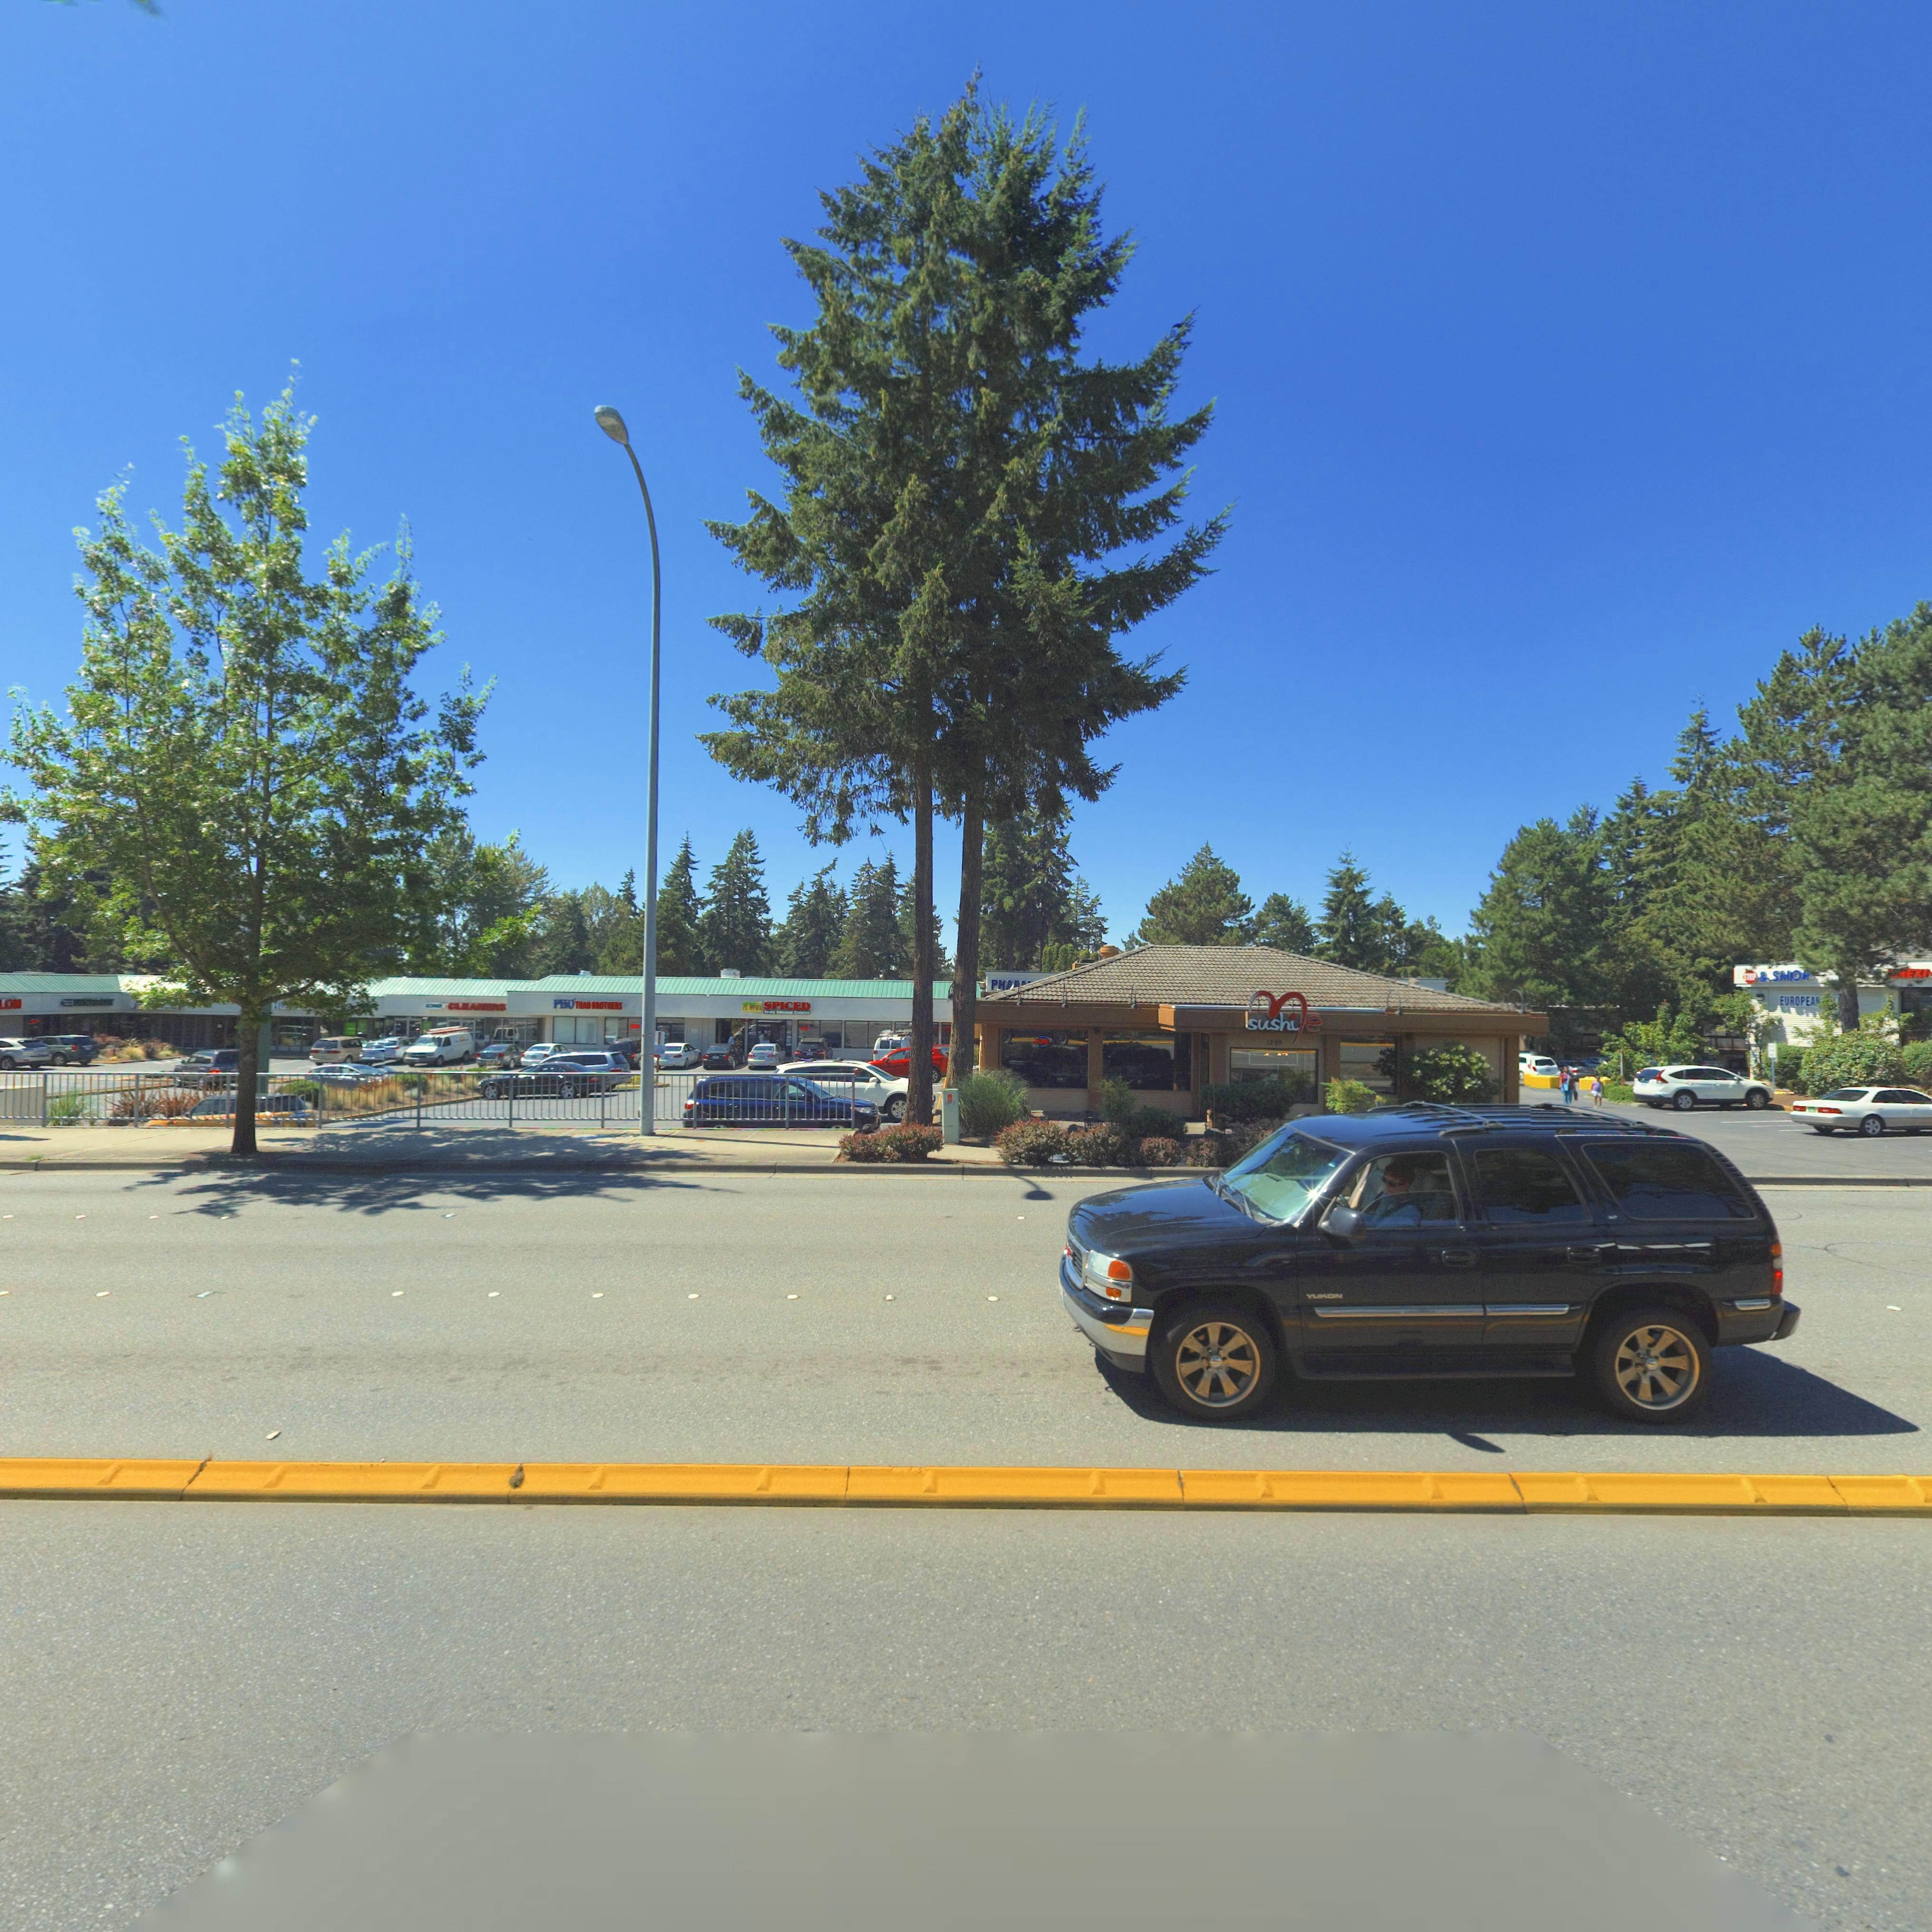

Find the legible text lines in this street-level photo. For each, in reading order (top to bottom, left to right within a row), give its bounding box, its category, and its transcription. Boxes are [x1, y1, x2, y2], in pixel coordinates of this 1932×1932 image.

[1743, 972, 1758, 982] BusinessName: STOP
[1773, 970, 1801, 981] BusinessName: SHO
[425, 1003, 442, 1007] BusinessName: COMET
[448, 1002, 506, 1011] StreetNumber: CLEANERS
[553, 999, 574, 1009] BusinessName: PHO
[575, 1001, 622, 1009] BusinessName: THAI BROTHERS
[763, 1001, 810, 1011] BusinessName: SPICED
[1246, 1010, 1299, 1031] BusinessName: sushi
[1249, 991, 1322, 1044] BusinessName: Me
[1266, 1039, 1281, 1045] StreetNumber: 1299